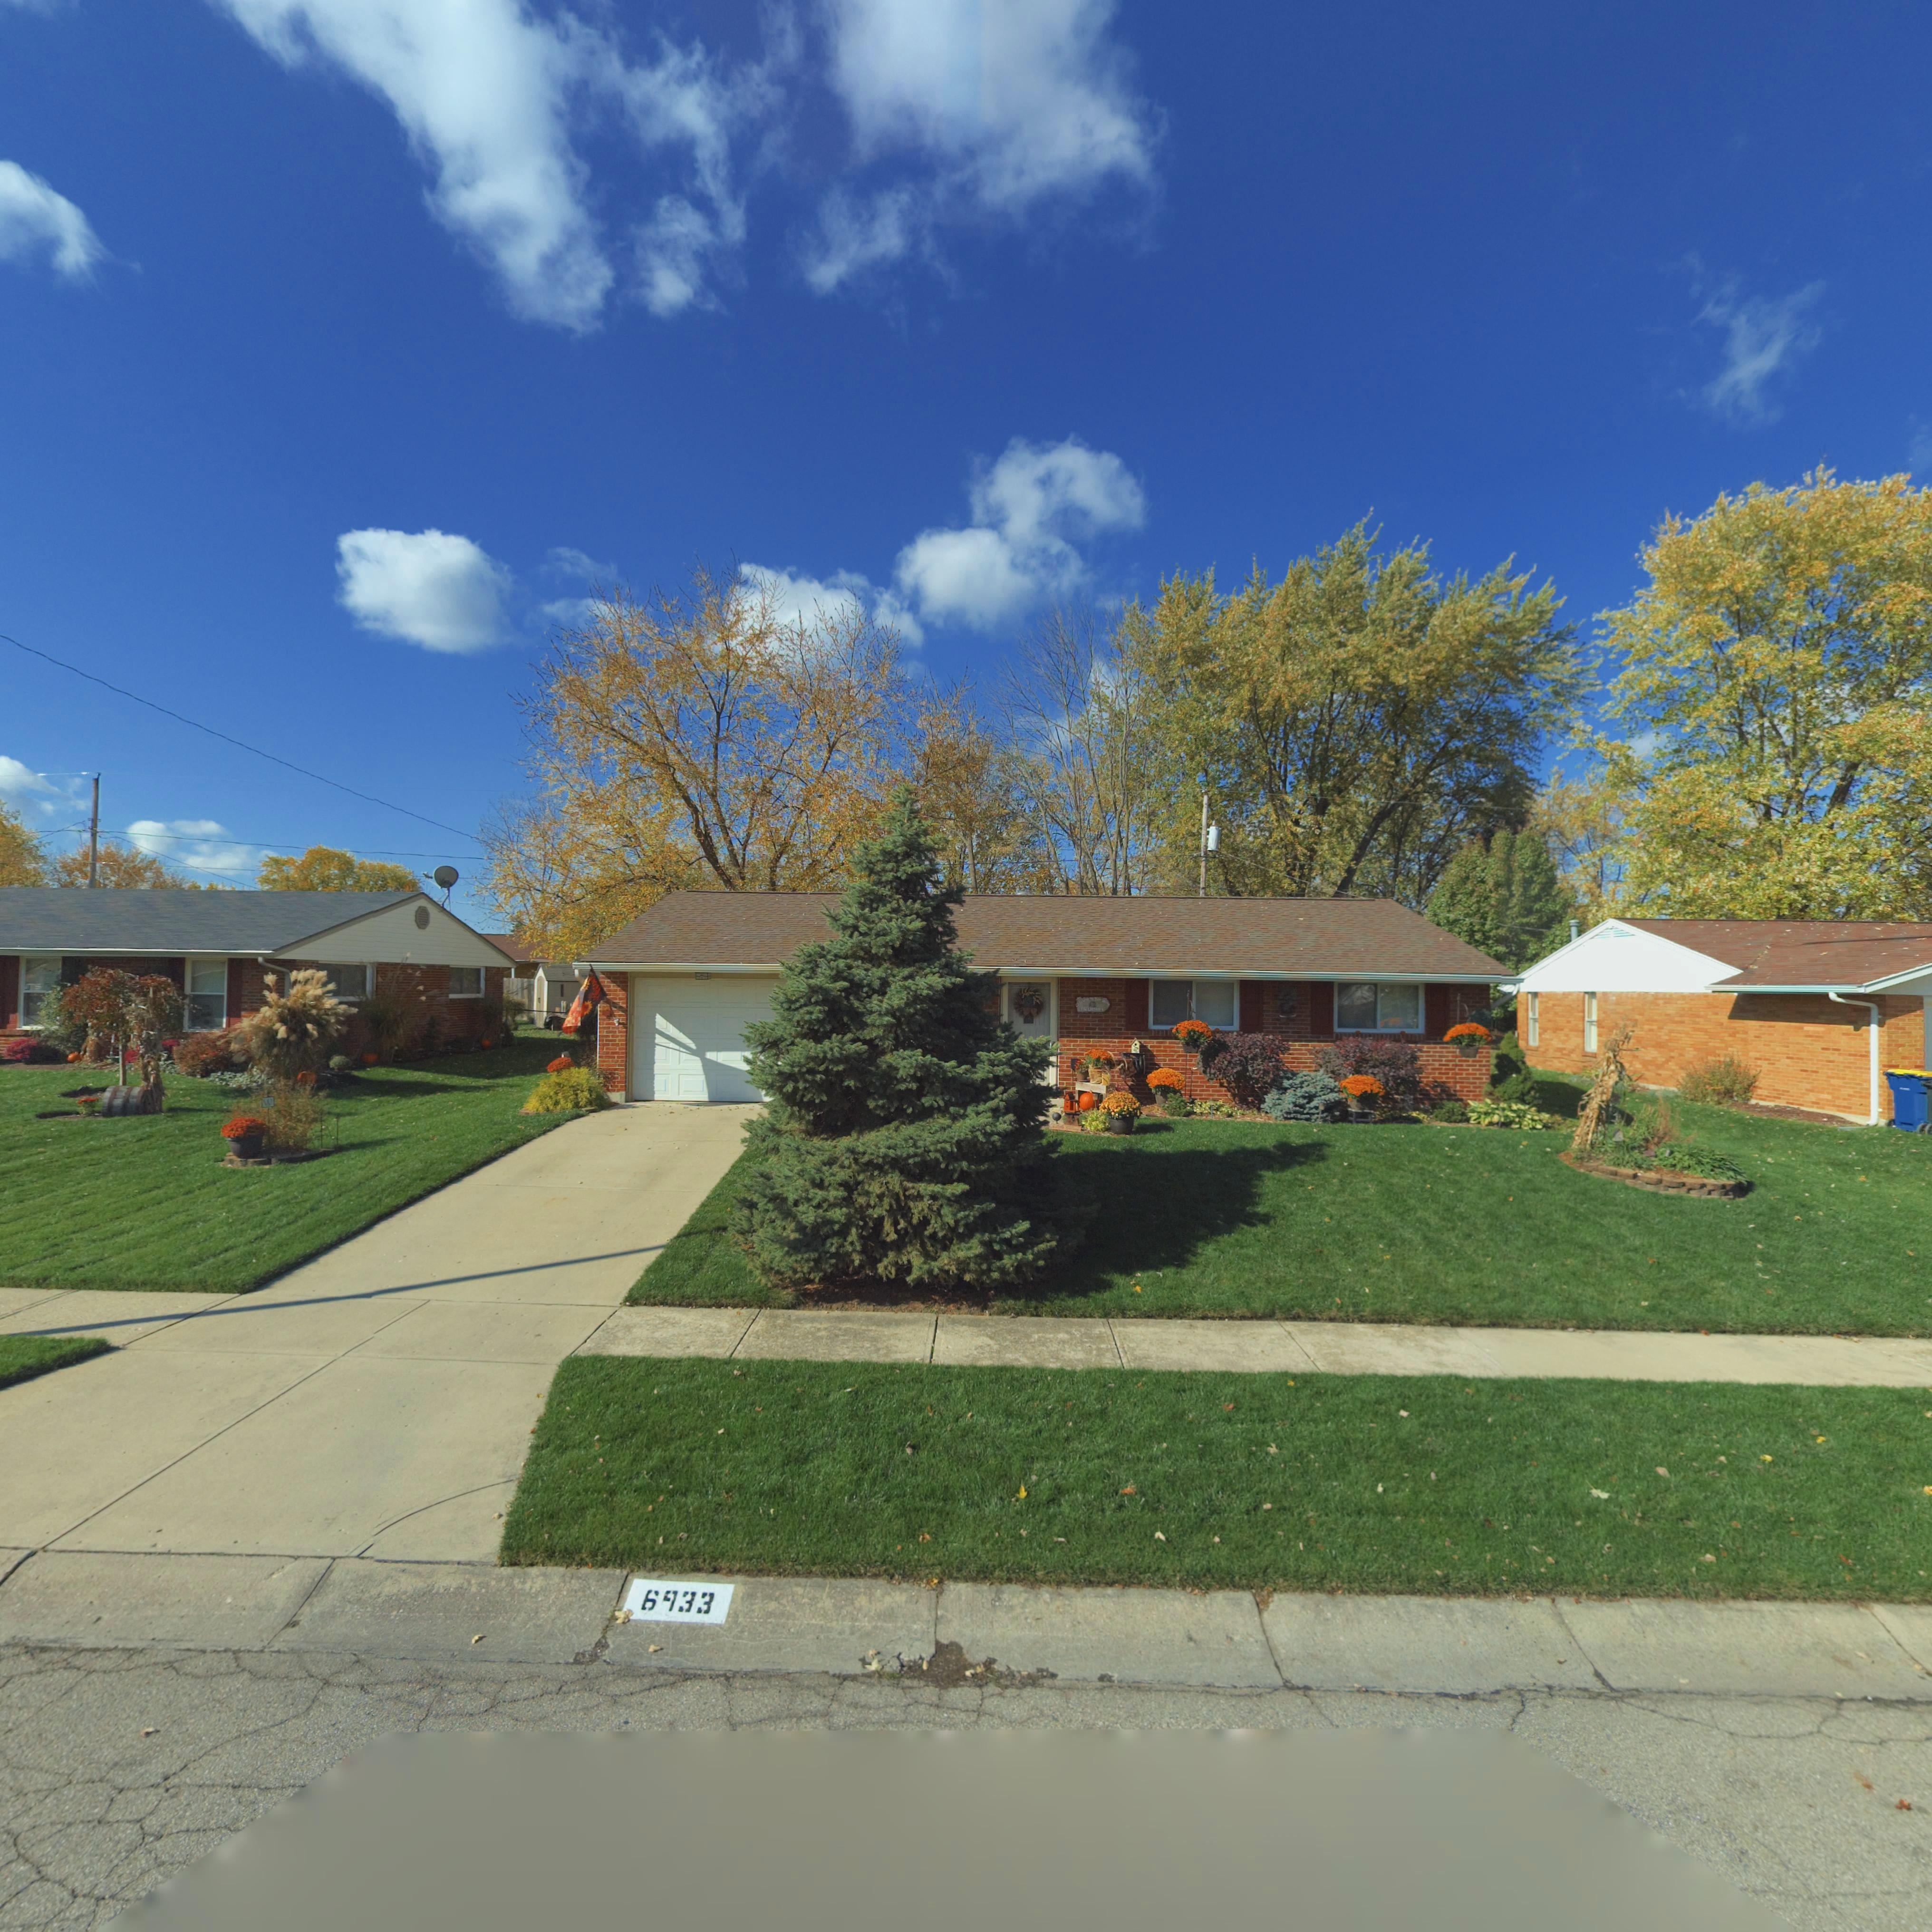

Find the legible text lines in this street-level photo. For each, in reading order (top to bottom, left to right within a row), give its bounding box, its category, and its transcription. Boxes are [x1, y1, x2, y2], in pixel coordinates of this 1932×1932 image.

[638, 1587, 717, 1616] StreetNumber: 6933